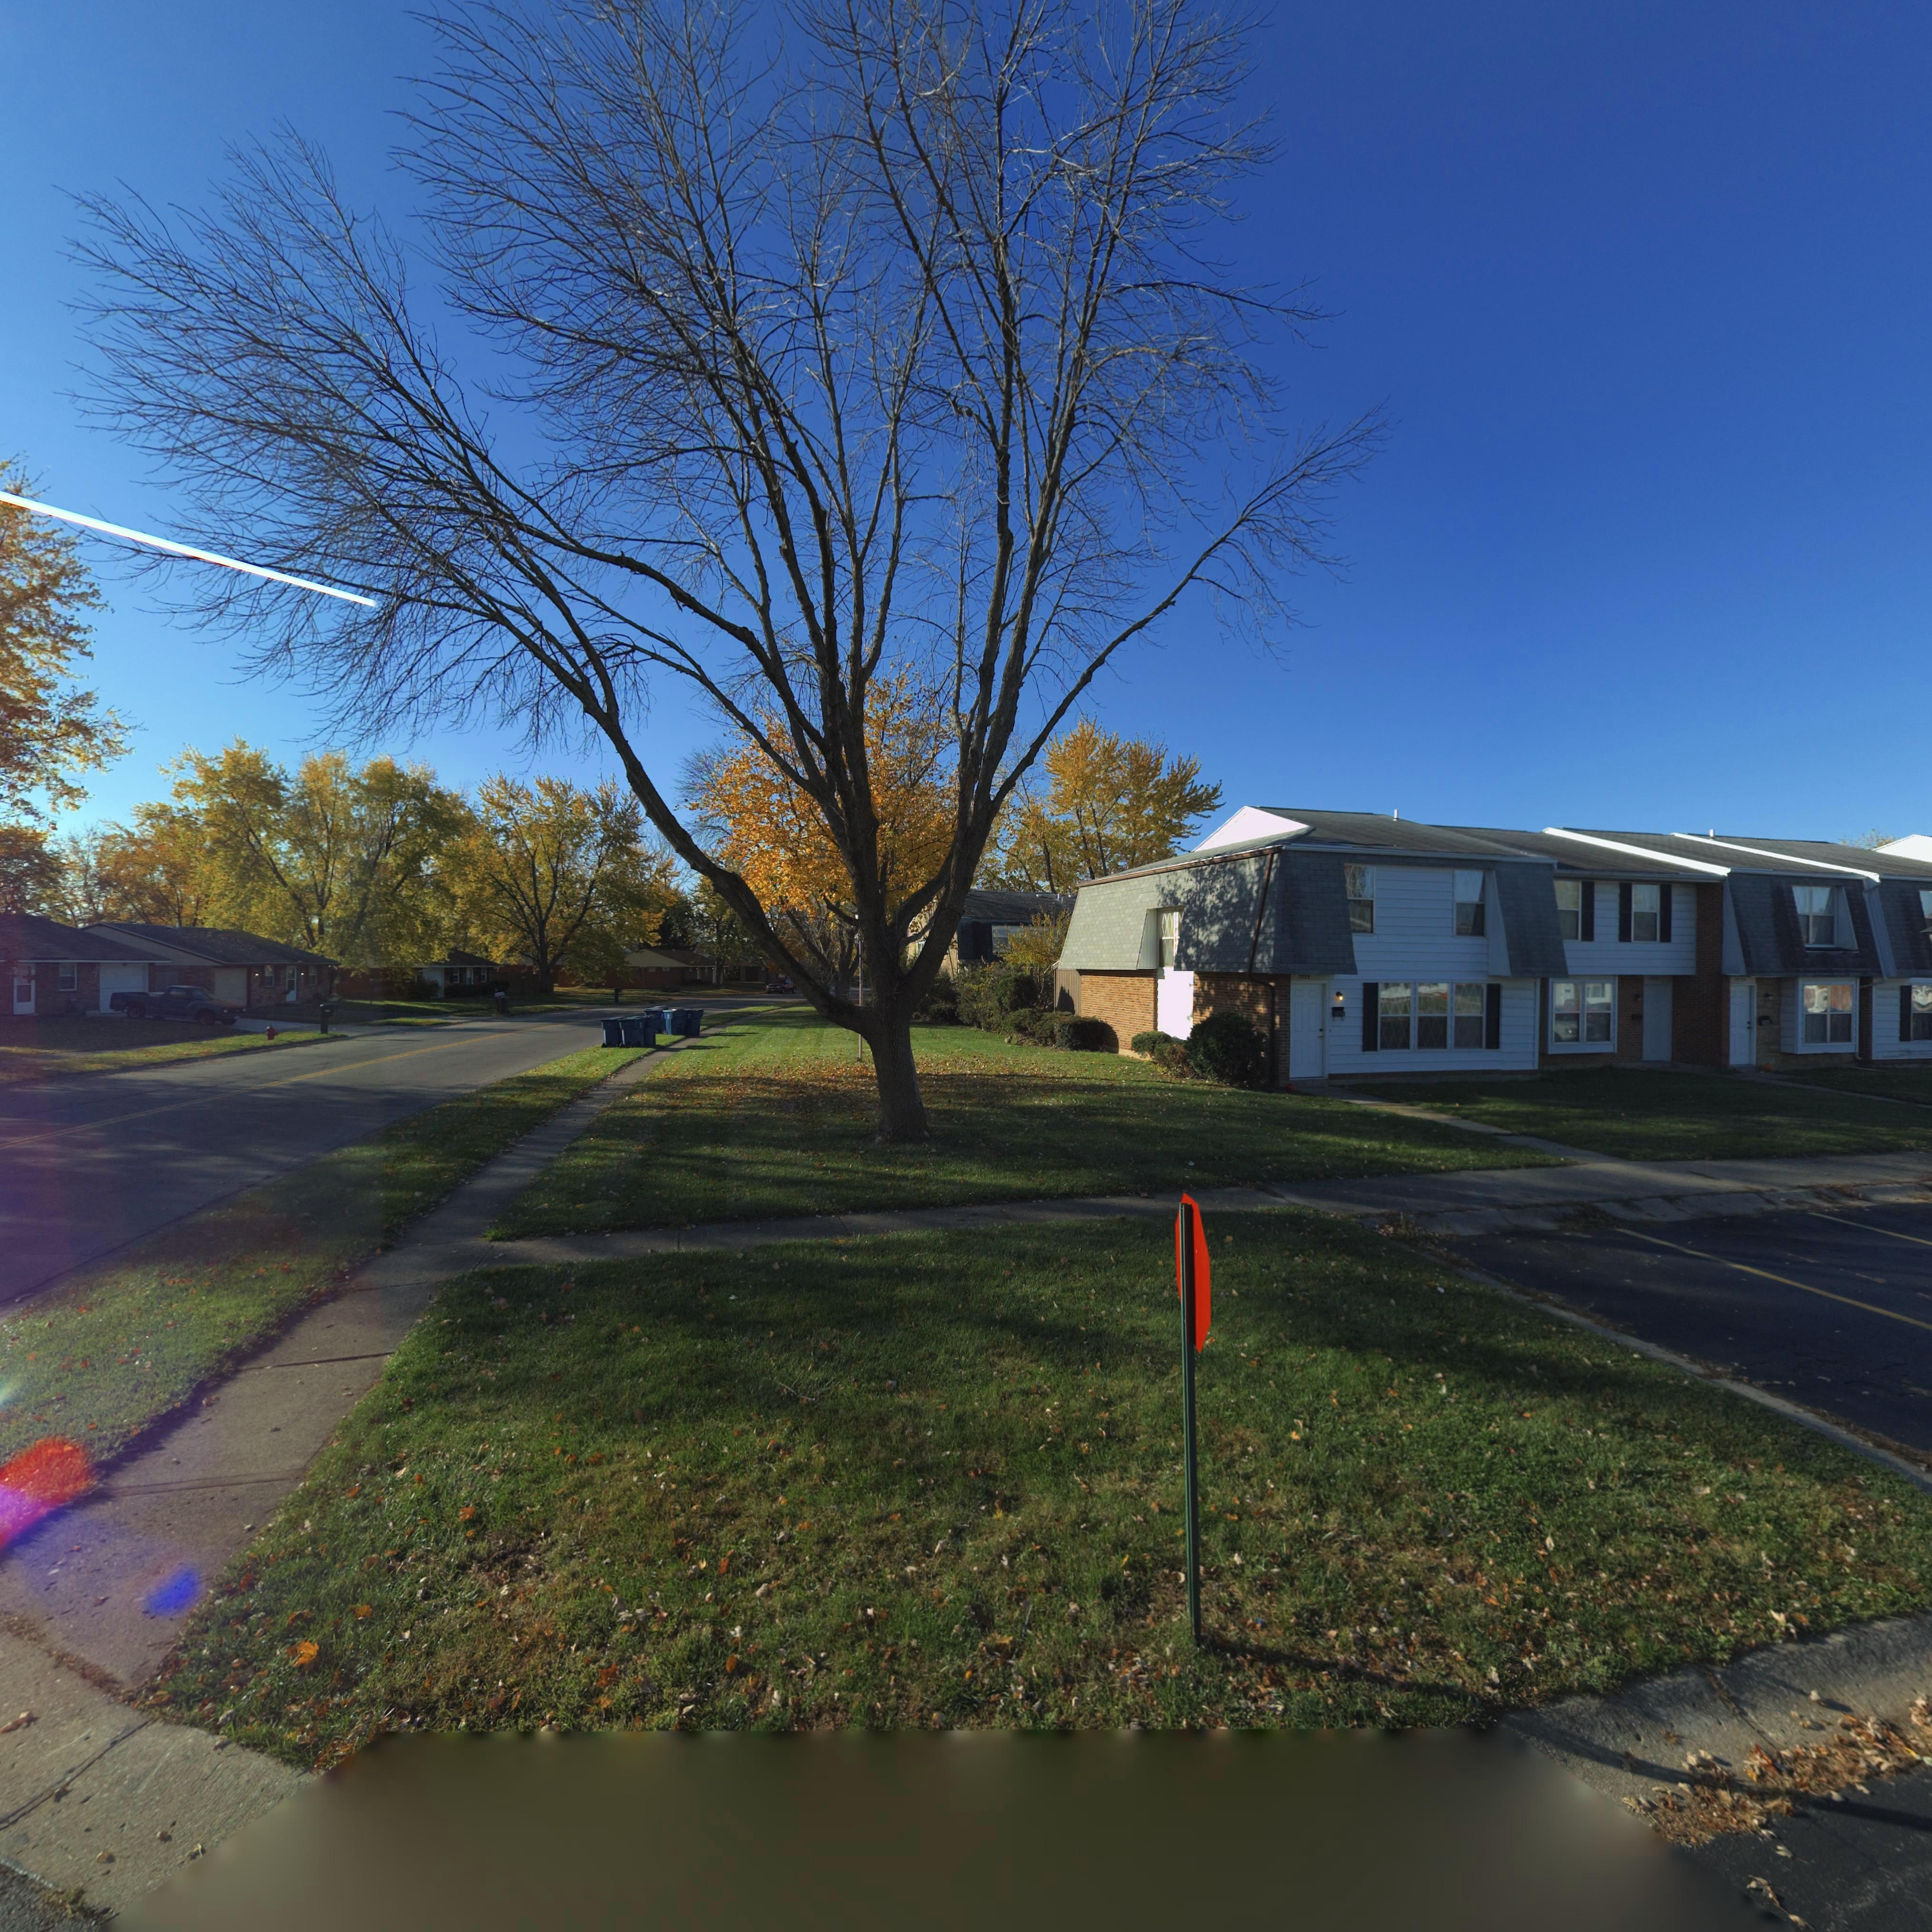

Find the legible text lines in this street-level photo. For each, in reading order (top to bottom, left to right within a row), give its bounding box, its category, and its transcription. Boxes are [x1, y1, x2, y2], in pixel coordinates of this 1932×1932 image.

[1298, 974, 1311, 980] StreetNumber: 7729